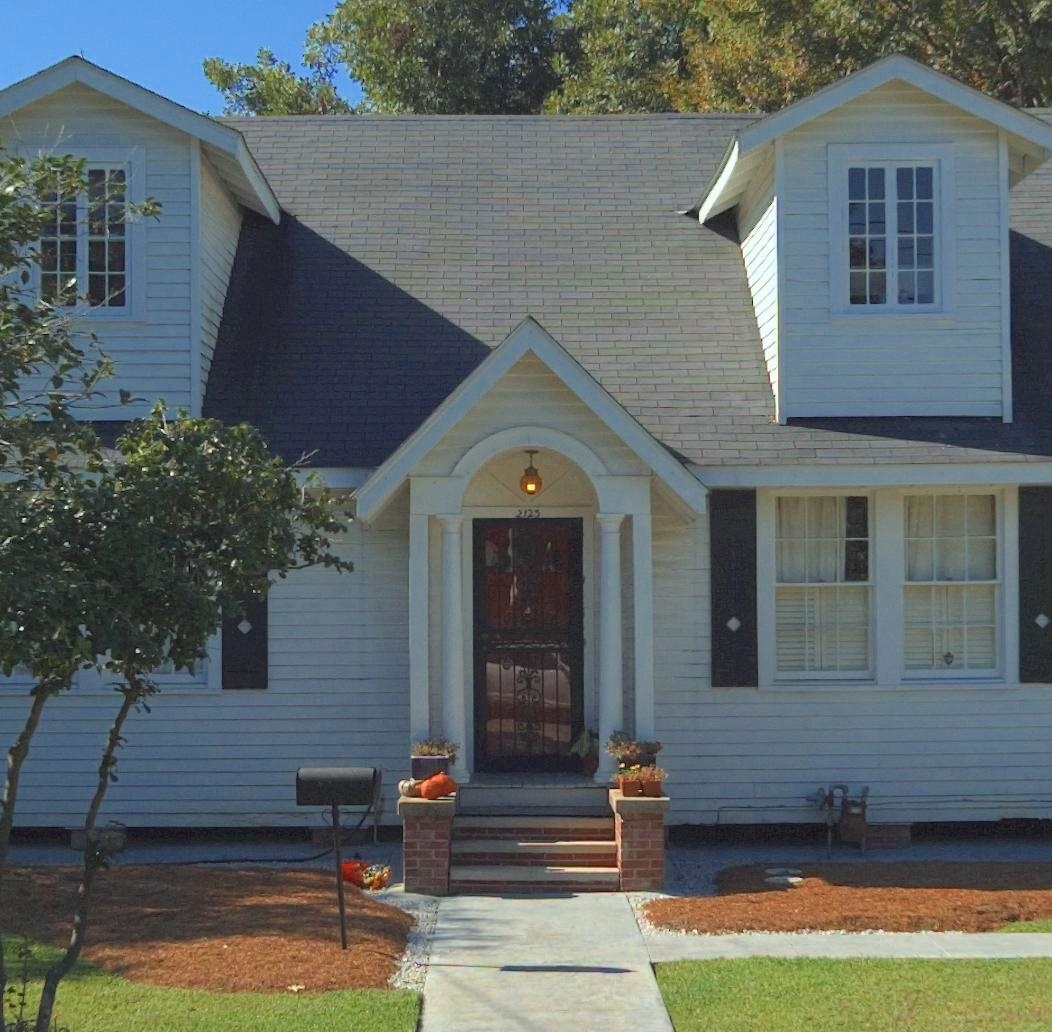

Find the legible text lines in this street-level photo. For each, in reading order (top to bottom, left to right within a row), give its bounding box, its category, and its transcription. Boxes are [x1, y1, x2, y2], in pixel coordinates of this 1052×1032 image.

[513, 507, 542, 520] StreetNumber: 2123